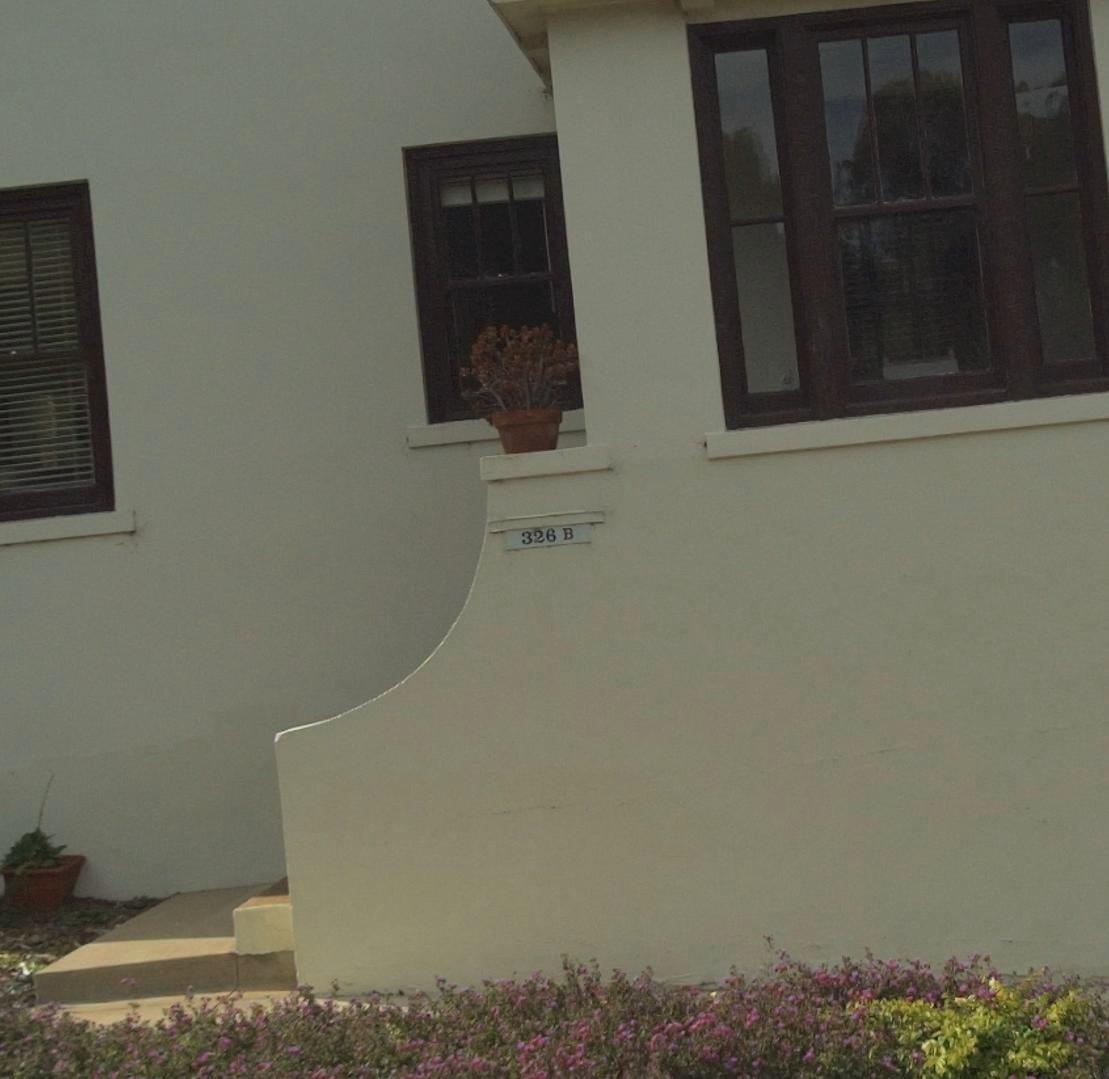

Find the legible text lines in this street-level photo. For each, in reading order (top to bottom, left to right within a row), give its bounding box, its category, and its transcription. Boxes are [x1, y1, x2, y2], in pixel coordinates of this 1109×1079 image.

[520, 526, 576, 546] StreetNumber: 326B